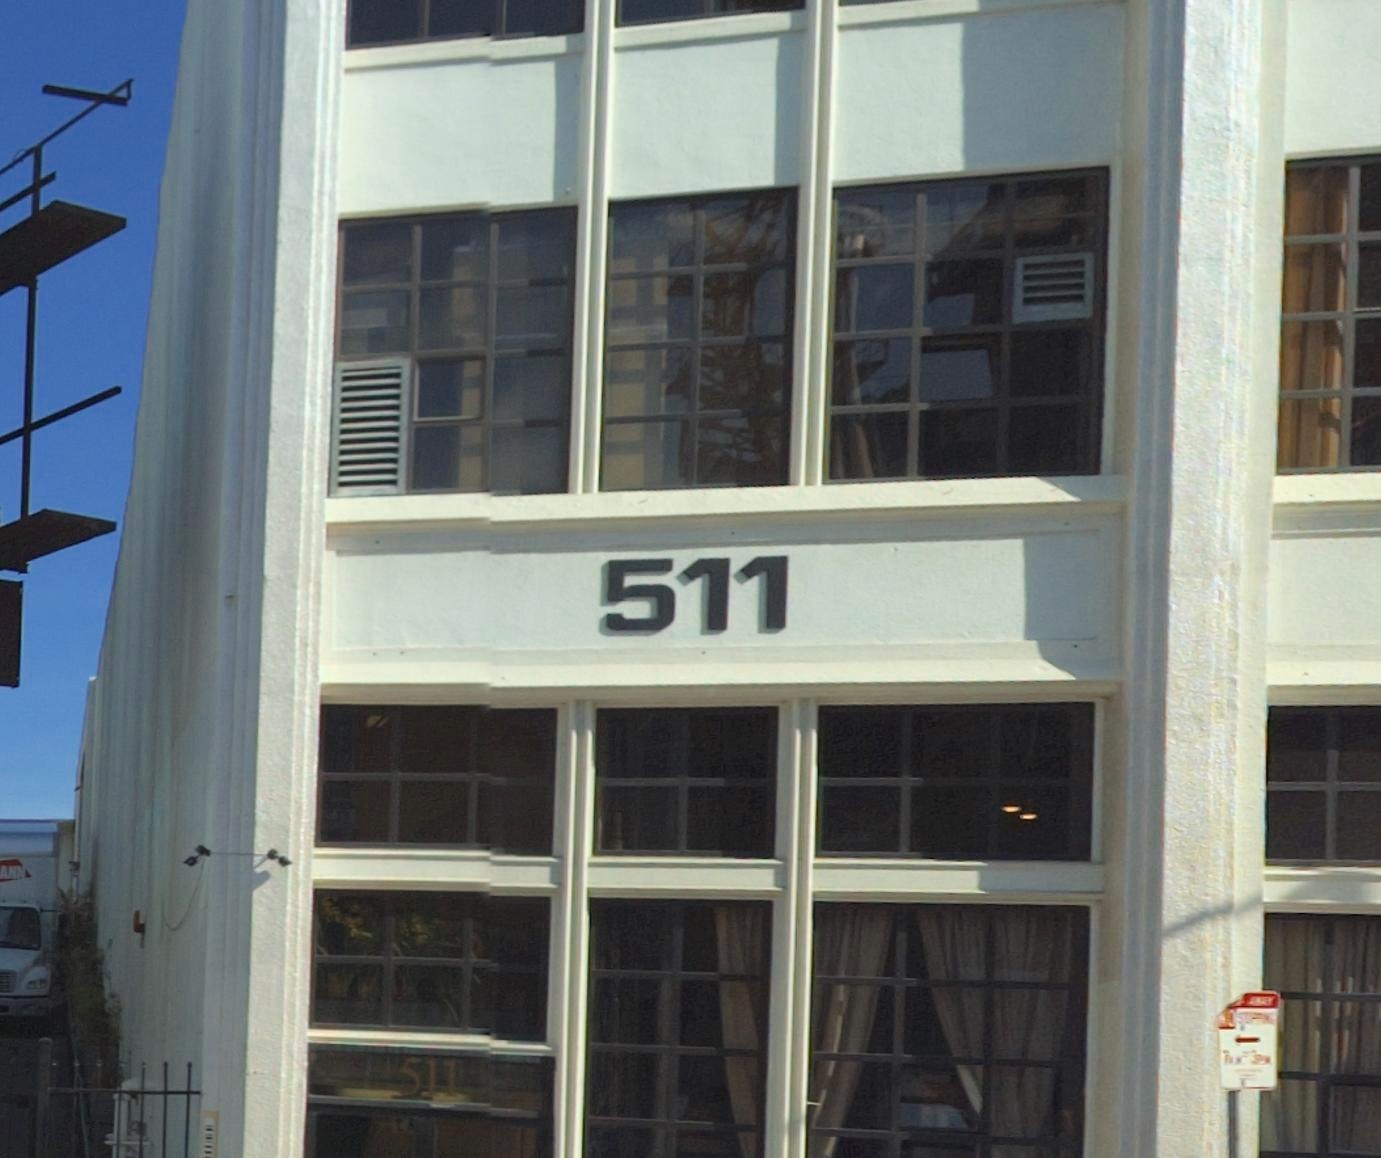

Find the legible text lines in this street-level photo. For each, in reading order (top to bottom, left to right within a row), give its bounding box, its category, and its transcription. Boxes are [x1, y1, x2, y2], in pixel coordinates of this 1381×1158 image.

[603, 554, 790, 633] StreetNumber: 511
[1226, 1010, 1246, 1029] None: O S
[397, 1057, 458, 1098] StreetNumber: 511